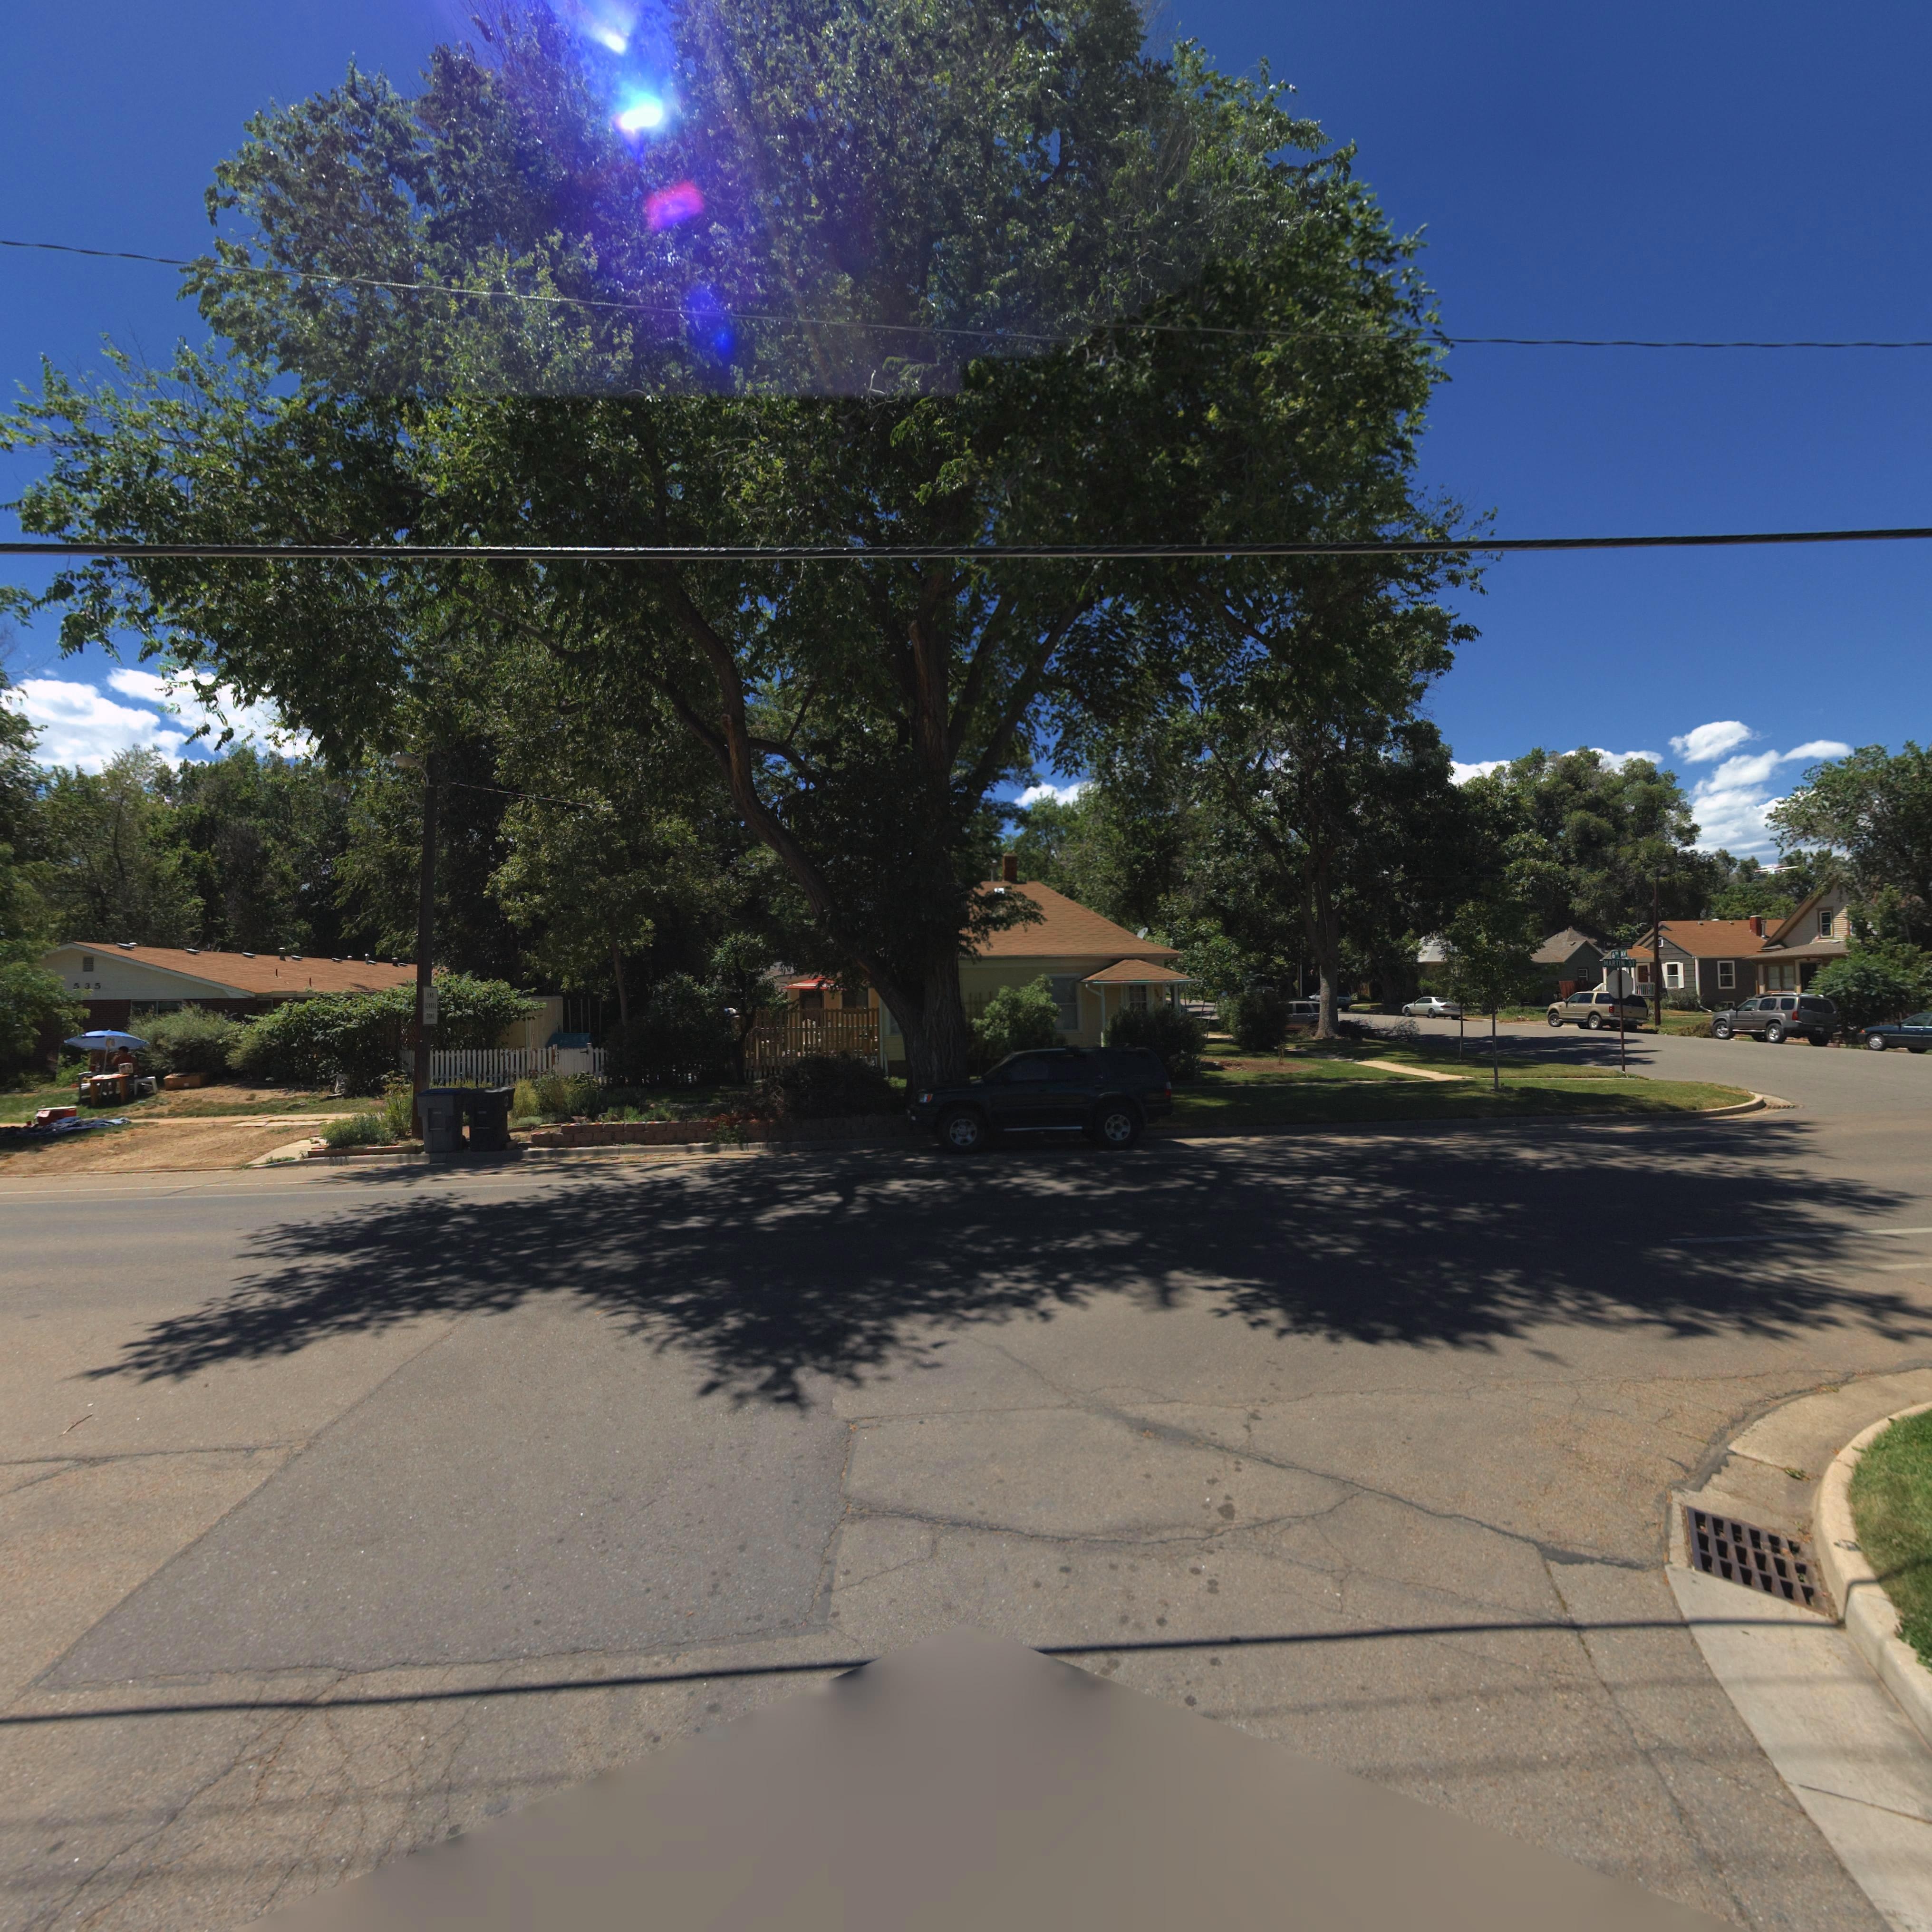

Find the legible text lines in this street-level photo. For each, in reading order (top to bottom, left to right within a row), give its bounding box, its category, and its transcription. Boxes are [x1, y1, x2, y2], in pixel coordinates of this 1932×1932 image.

[1611, 949, 1627, 959] StreetName: 6** AV
[1603, 959, 1635, 967] StreetName: MARTIN ST
[72, 982, 101, 989] StreetNumber: 535
[1153, 988, 1163, 1002] StreetNumber: 547